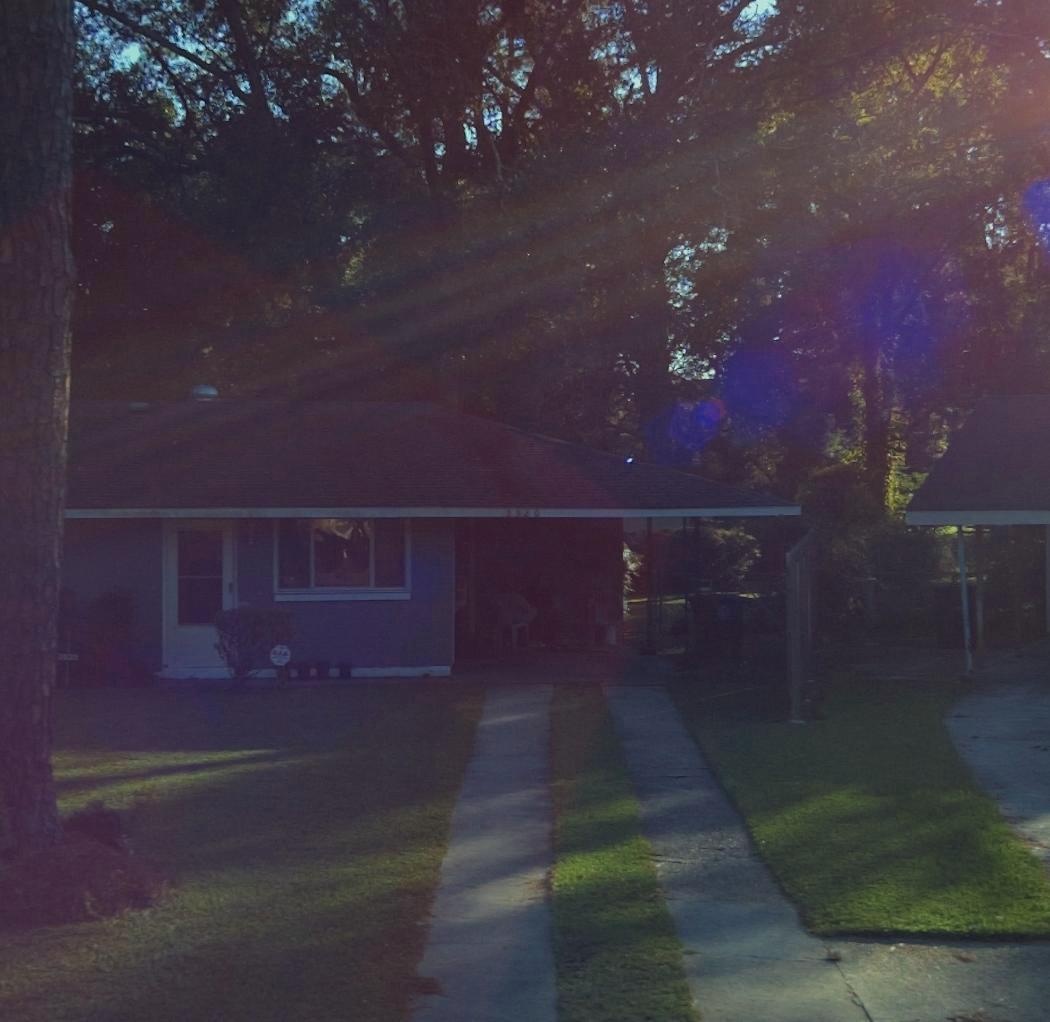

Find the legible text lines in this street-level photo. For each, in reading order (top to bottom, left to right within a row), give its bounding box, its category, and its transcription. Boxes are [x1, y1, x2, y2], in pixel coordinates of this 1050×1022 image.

[504, 508, 540, 517] StreetNumber: 5520